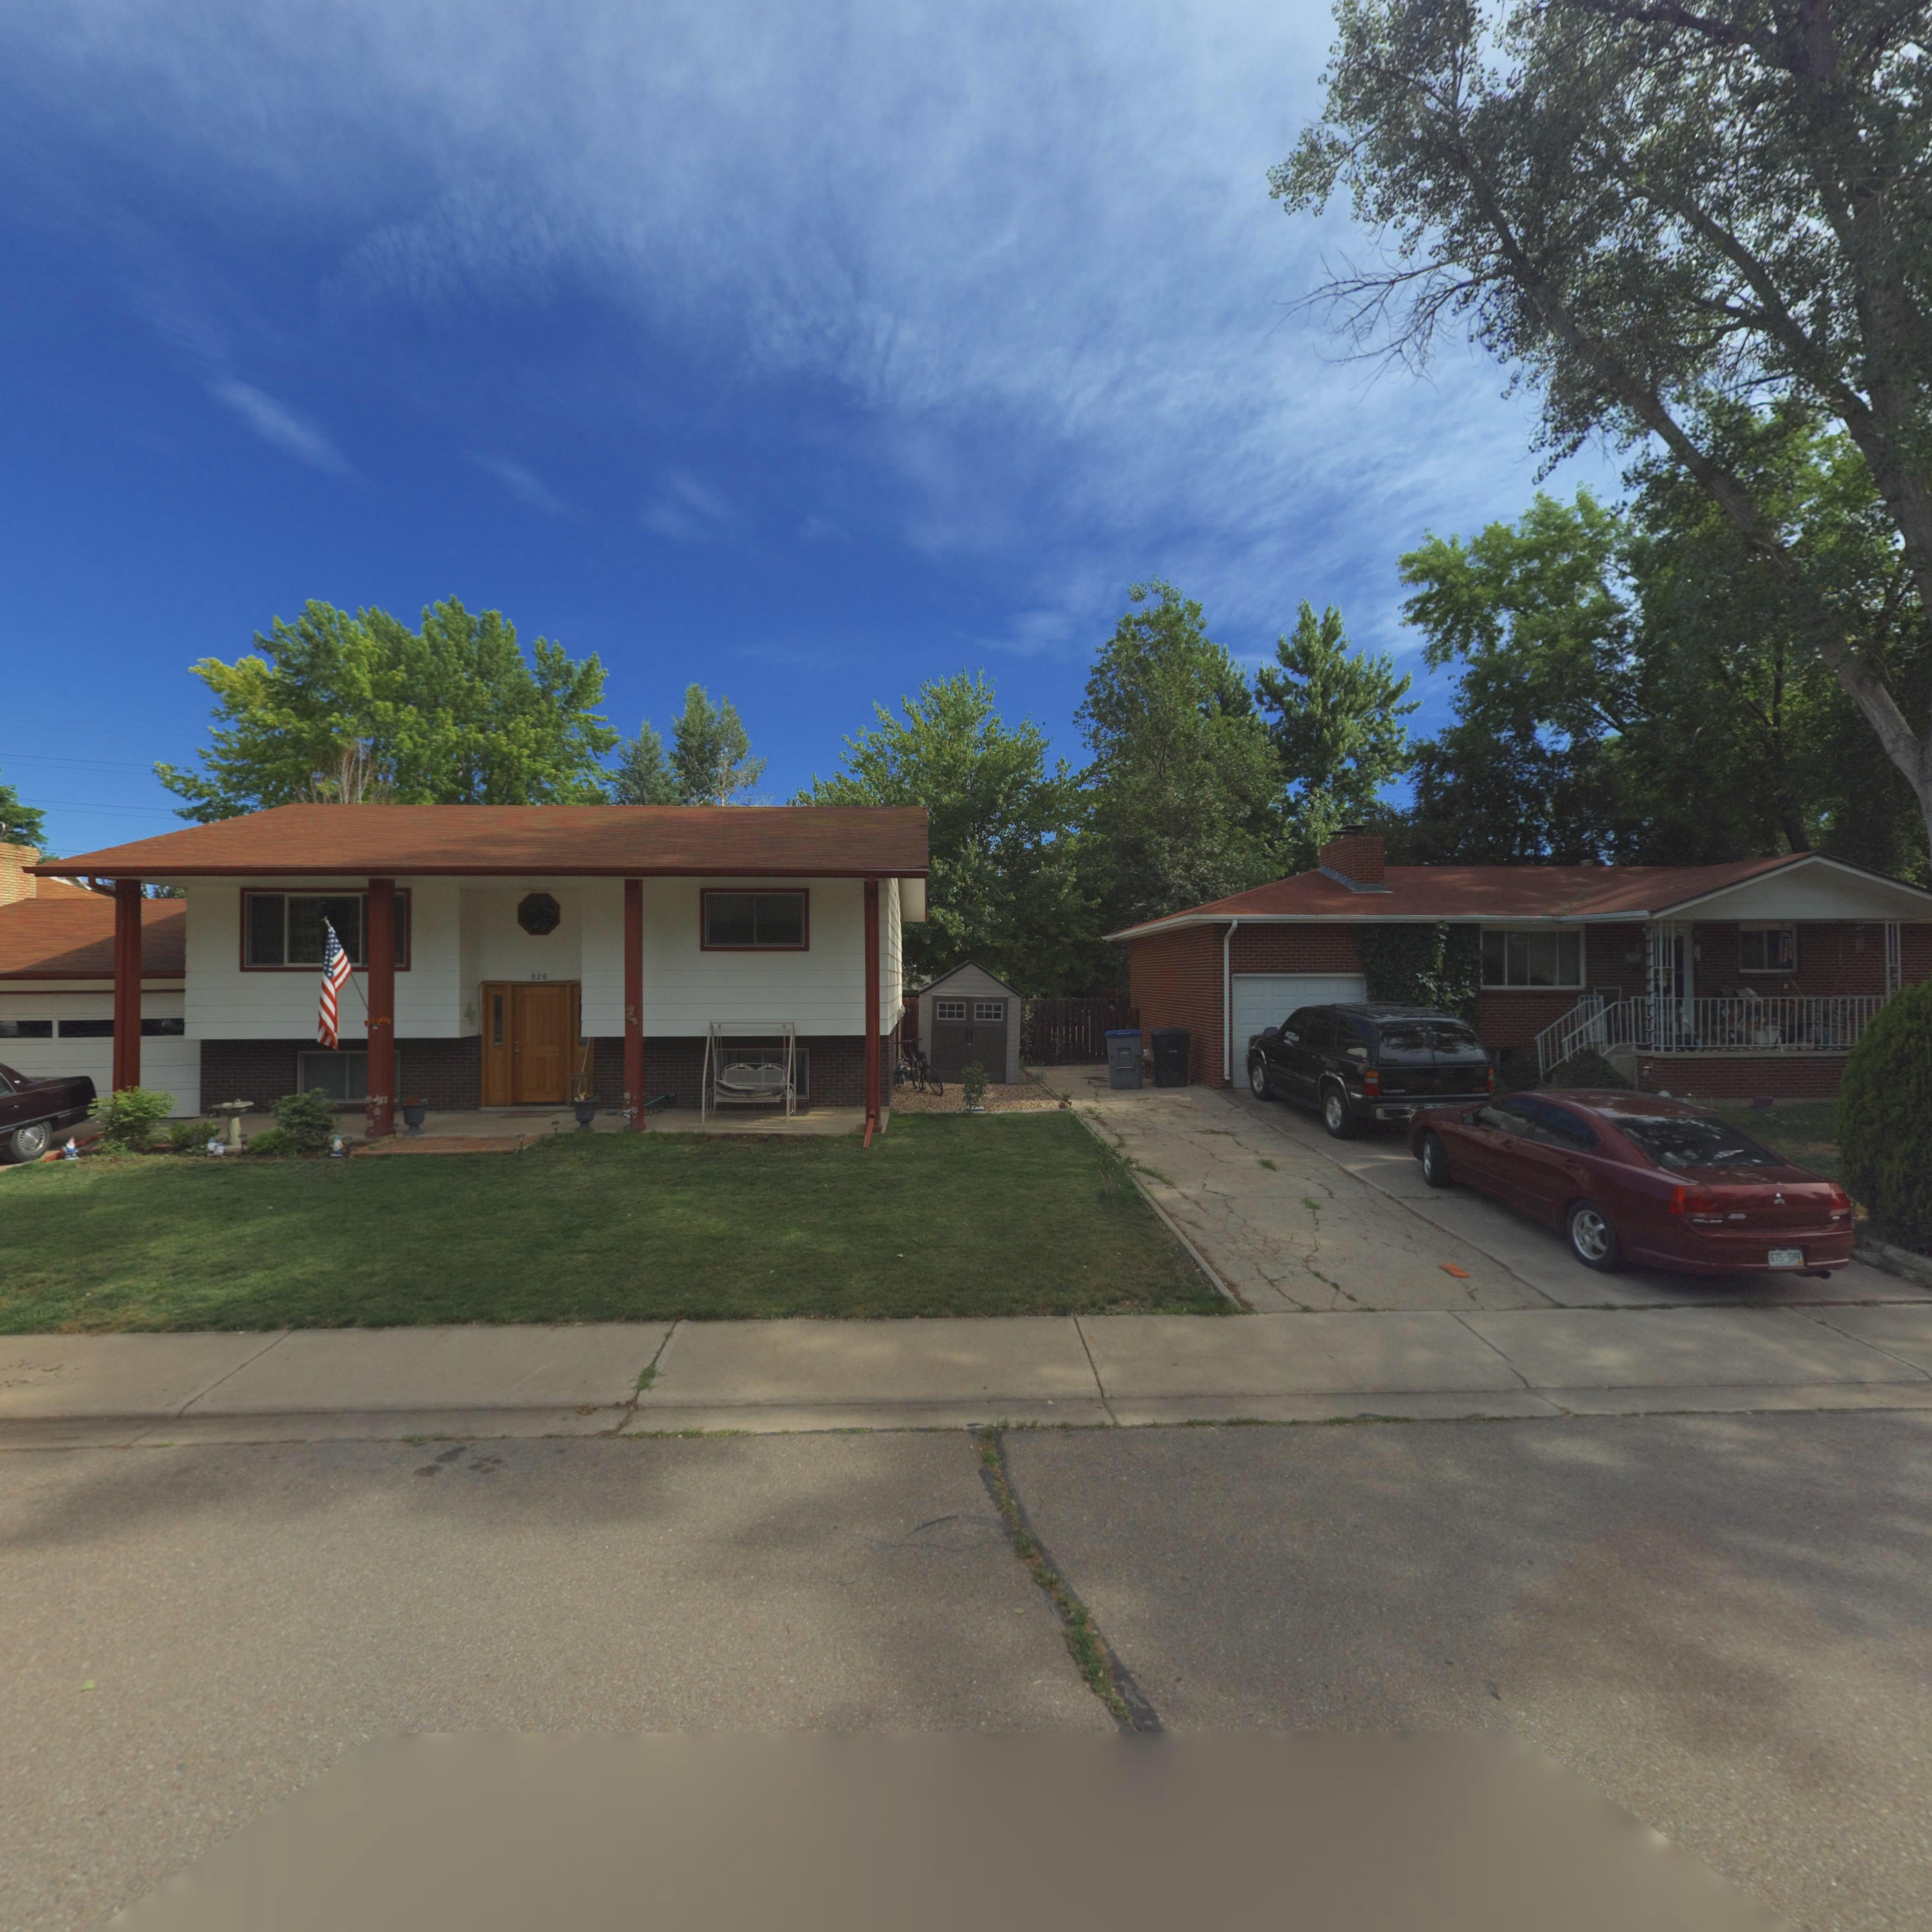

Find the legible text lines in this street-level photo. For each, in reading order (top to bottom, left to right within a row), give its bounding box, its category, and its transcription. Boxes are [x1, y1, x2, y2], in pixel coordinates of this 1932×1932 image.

[530, 973, 548, 980] StreetNumber: 926